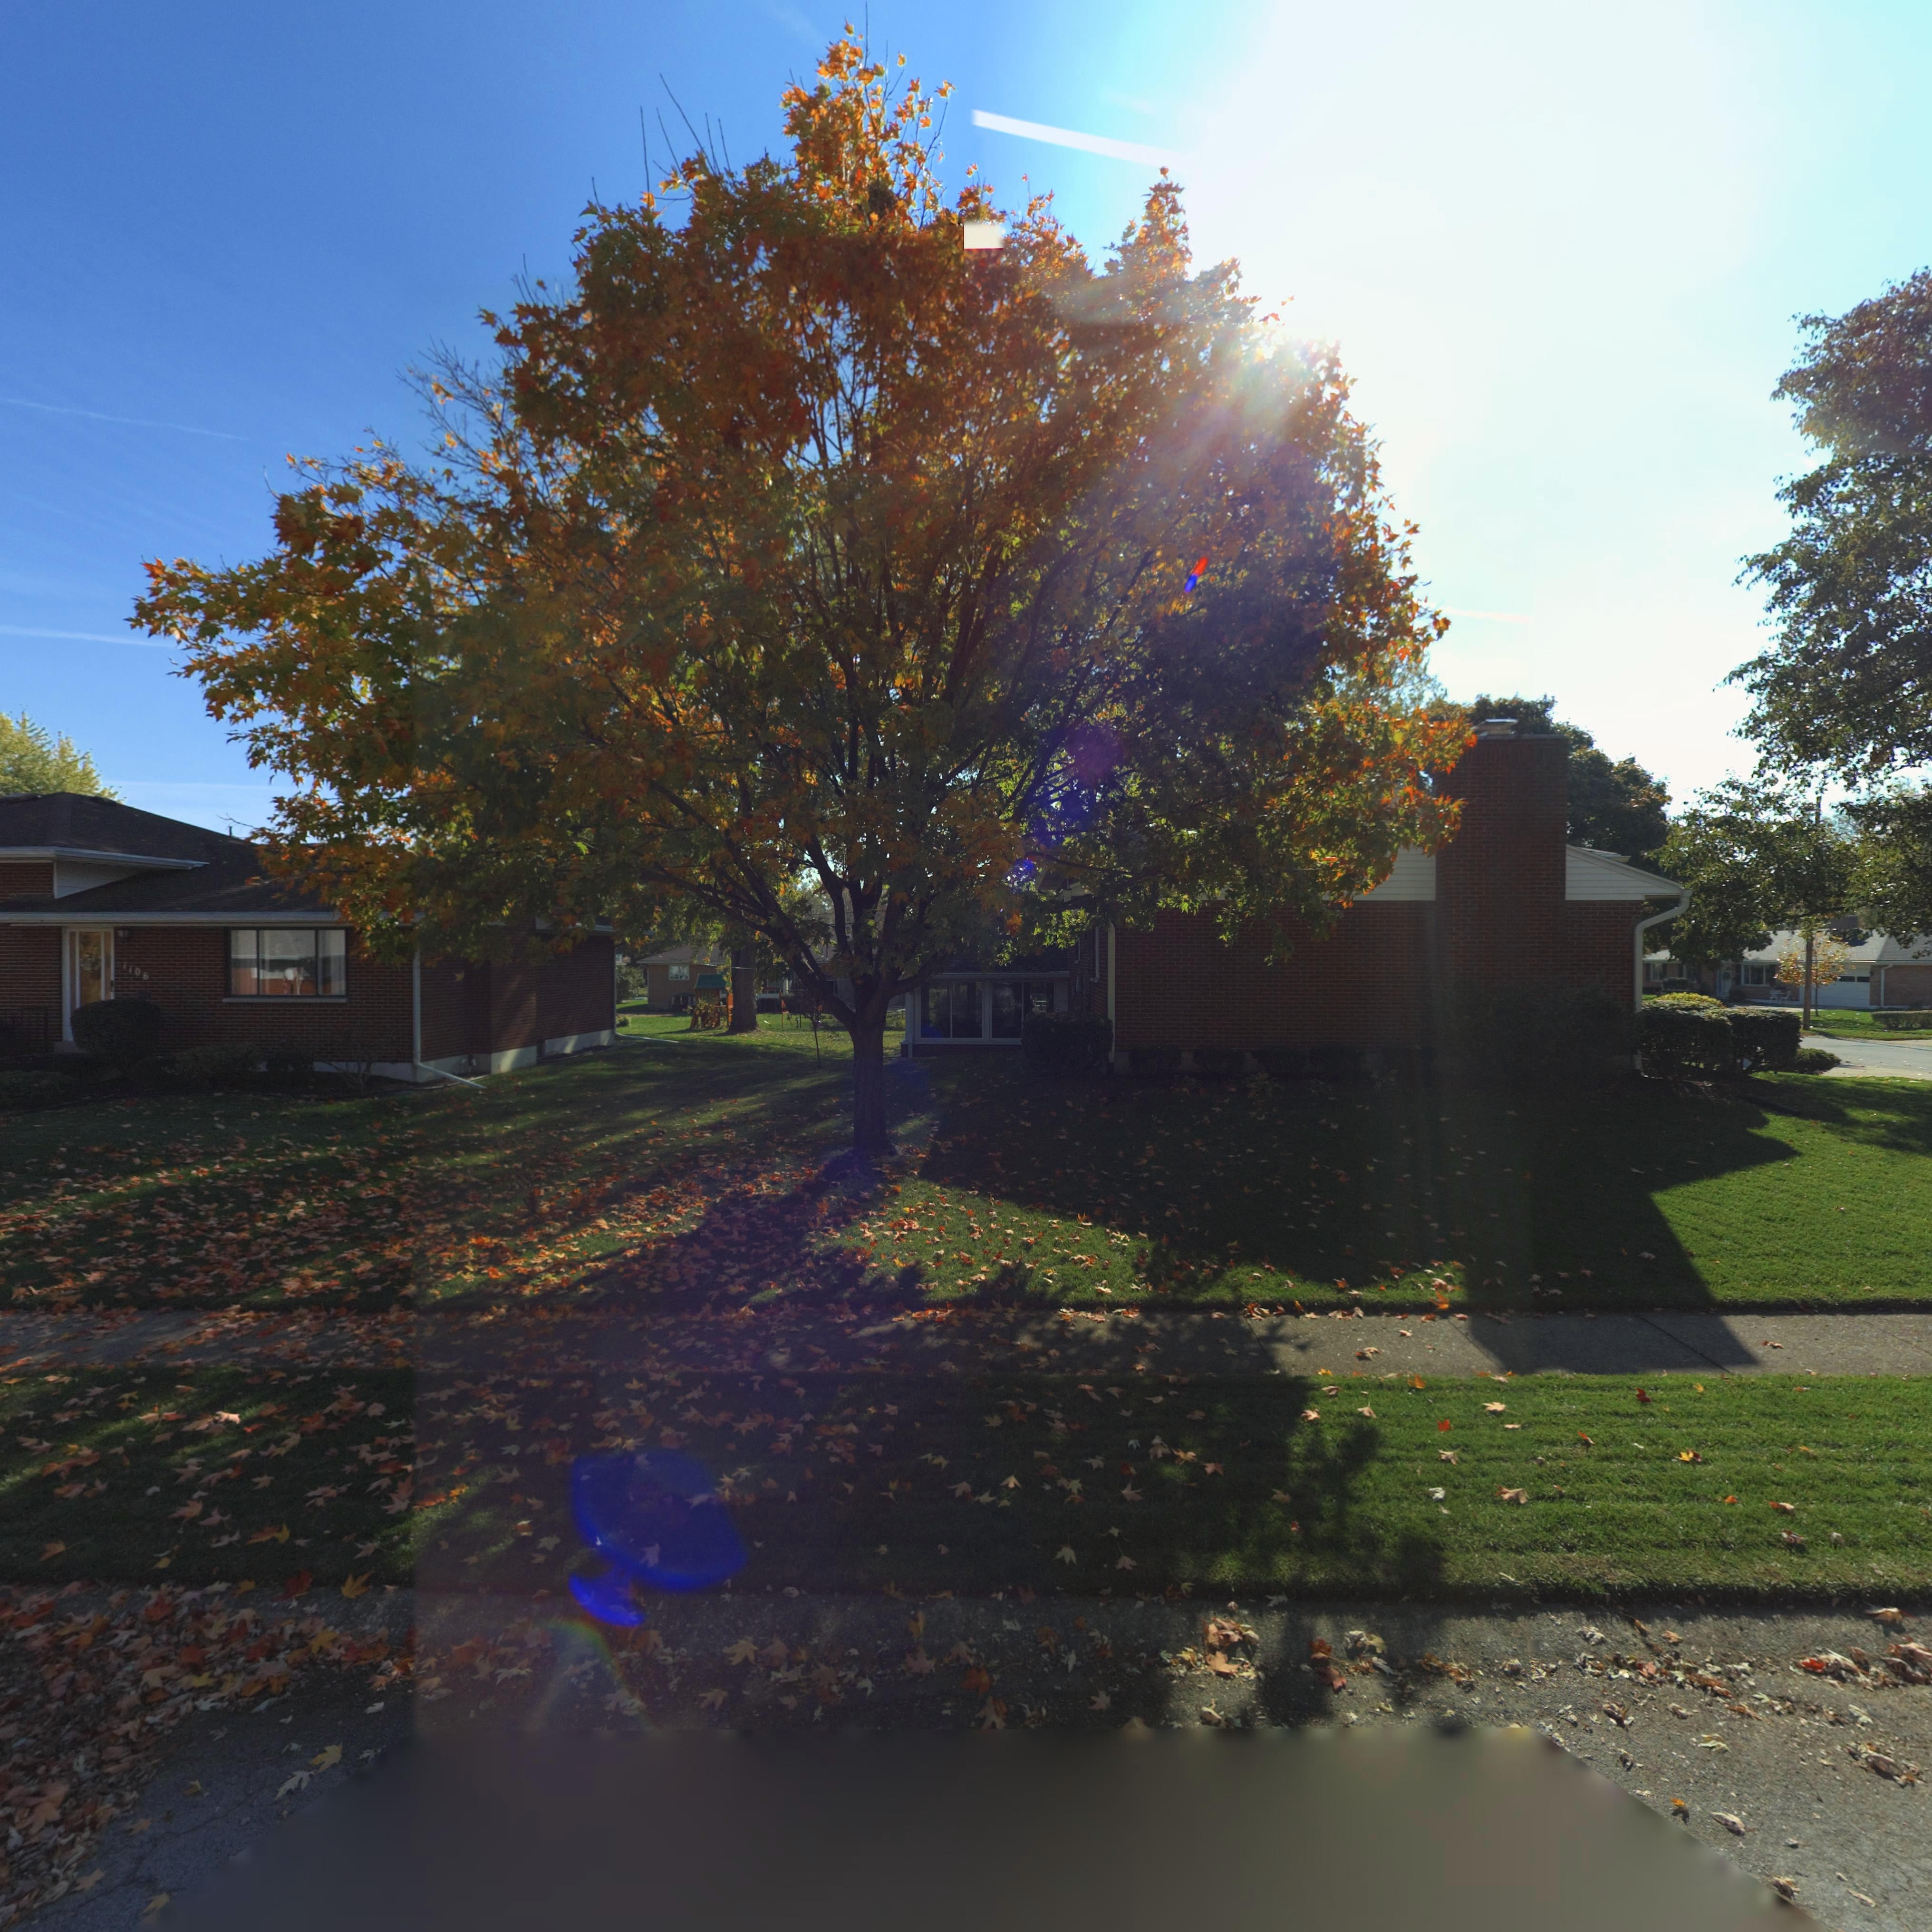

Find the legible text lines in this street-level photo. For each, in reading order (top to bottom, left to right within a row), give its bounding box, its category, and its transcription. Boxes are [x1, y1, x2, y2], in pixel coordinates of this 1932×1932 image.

[121, 960, 151, 981] StreetNumber: 1106